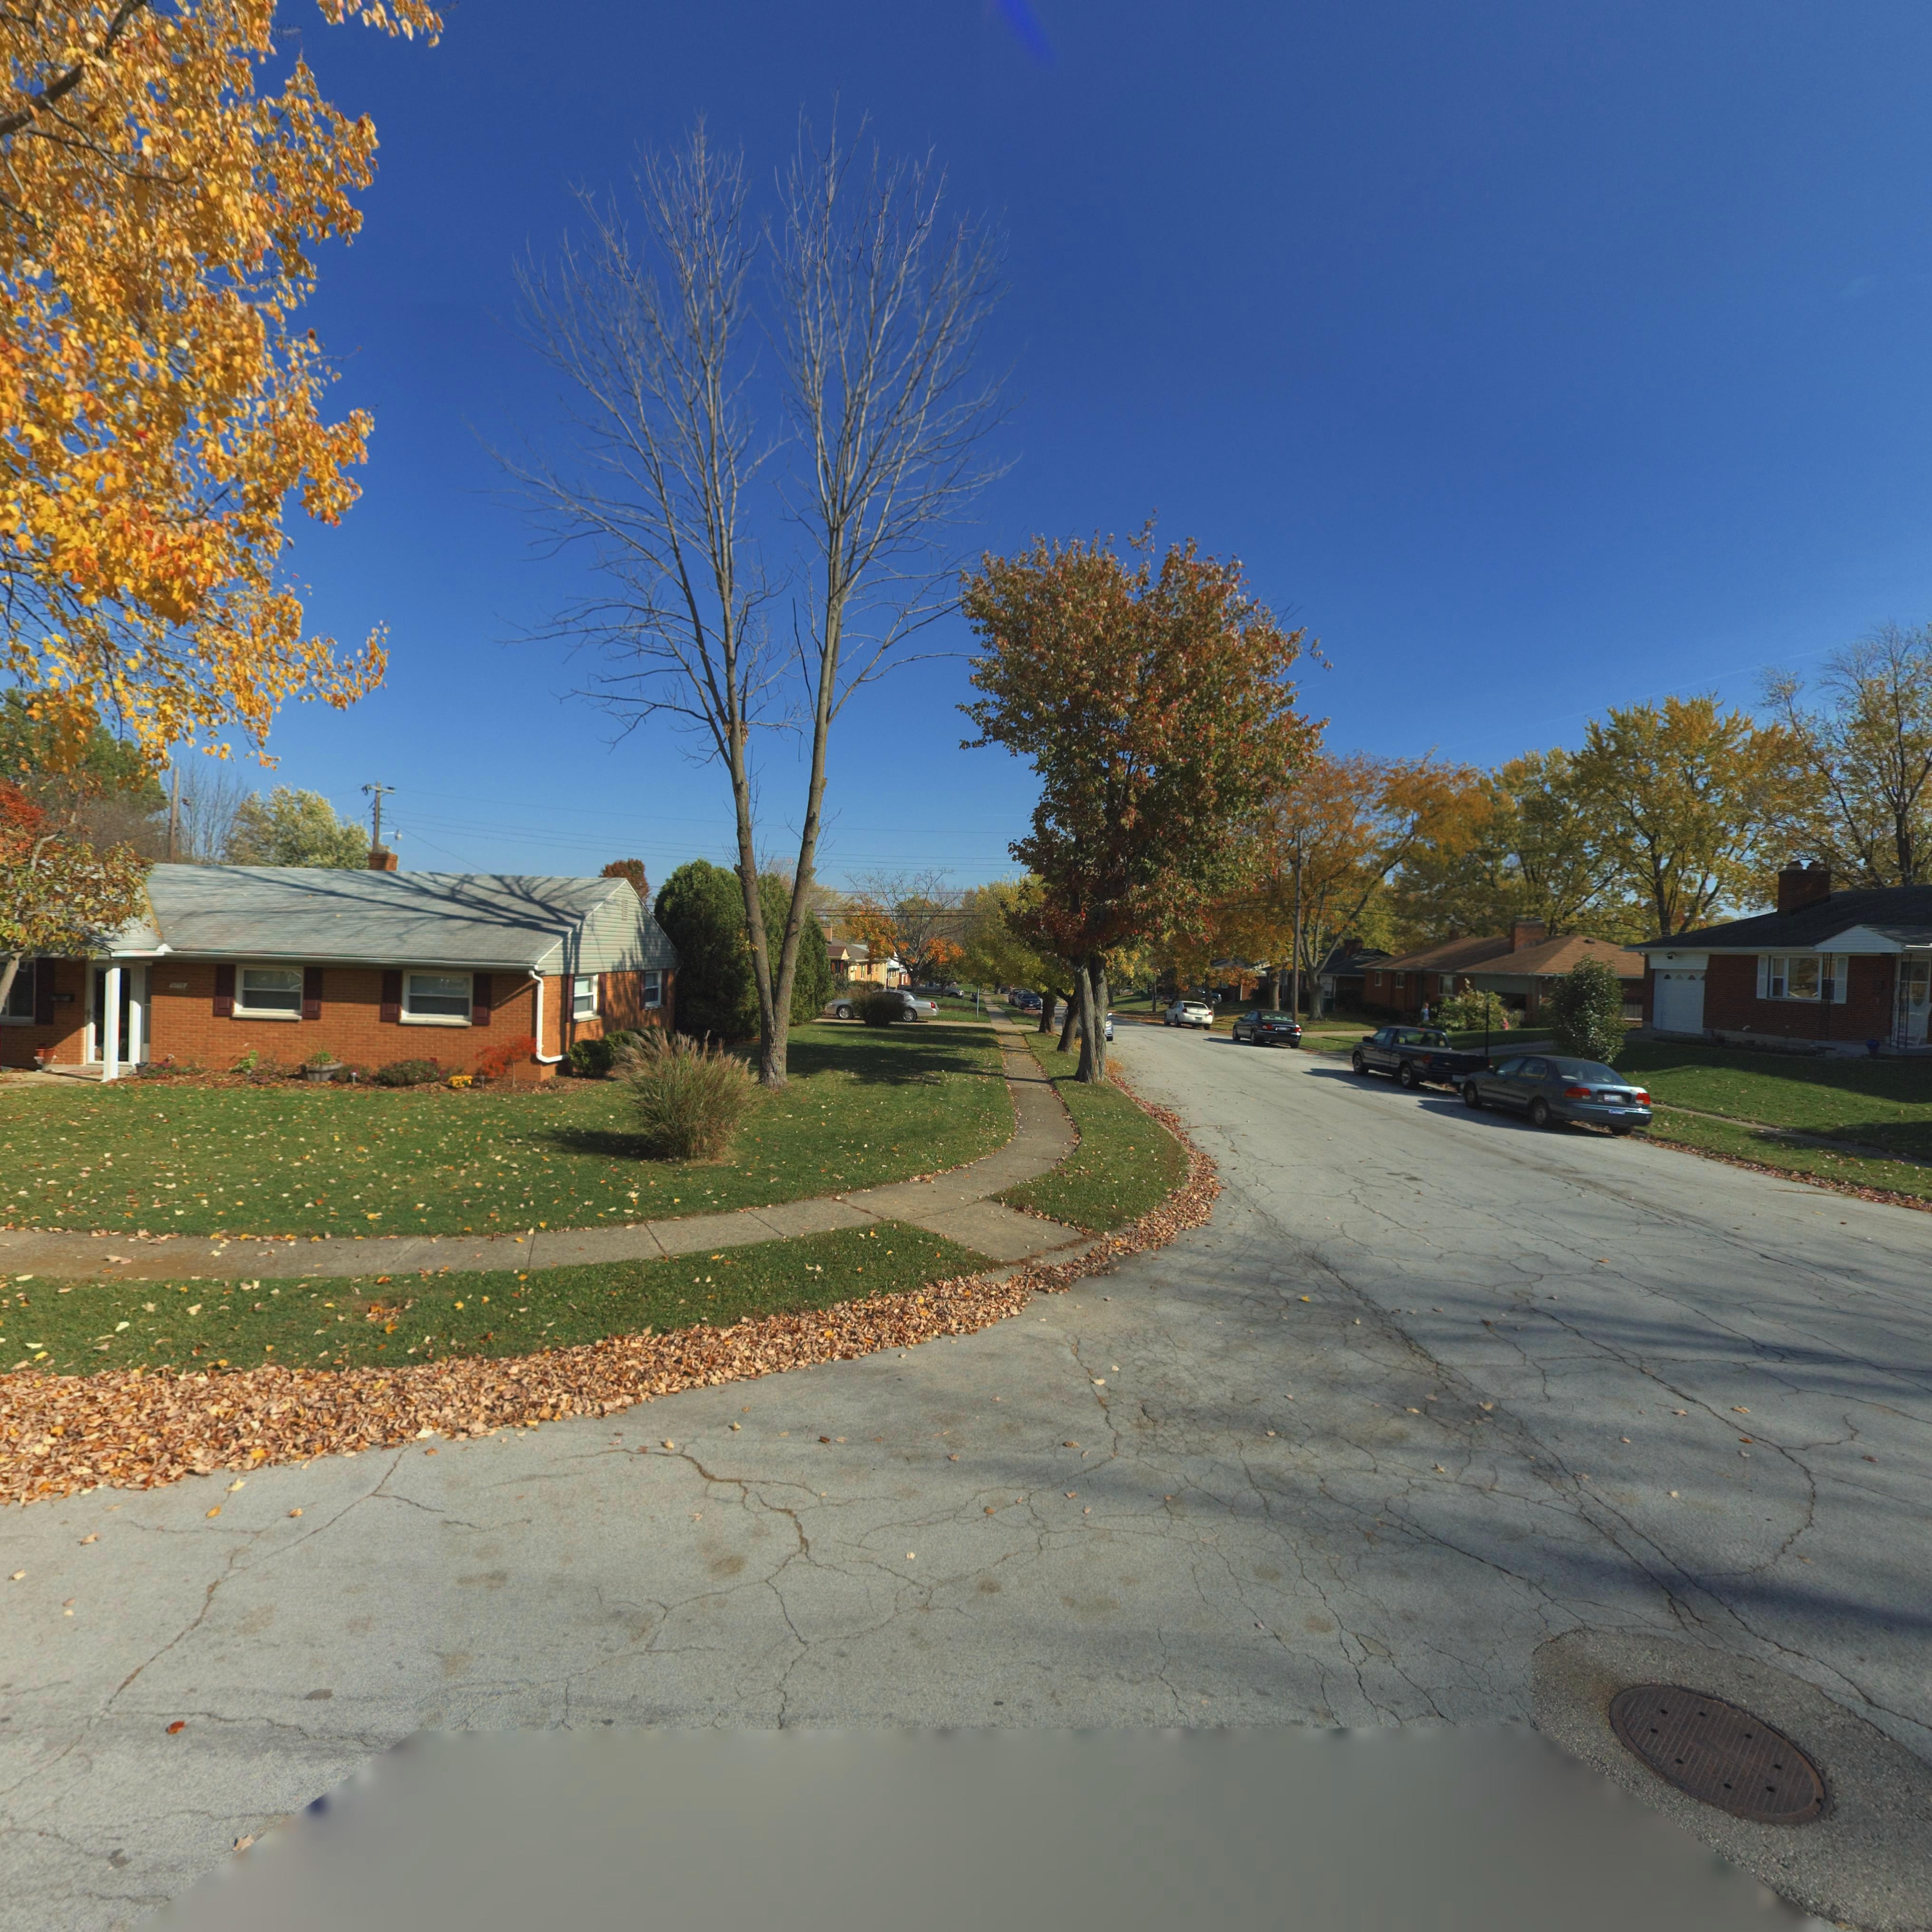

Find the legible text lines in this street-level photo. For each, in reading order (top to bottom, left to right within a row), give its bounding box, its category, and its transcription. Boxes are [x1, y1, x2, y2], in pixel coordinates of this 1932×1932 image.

[170, 983, 187, 988] StreetNumber: 3770